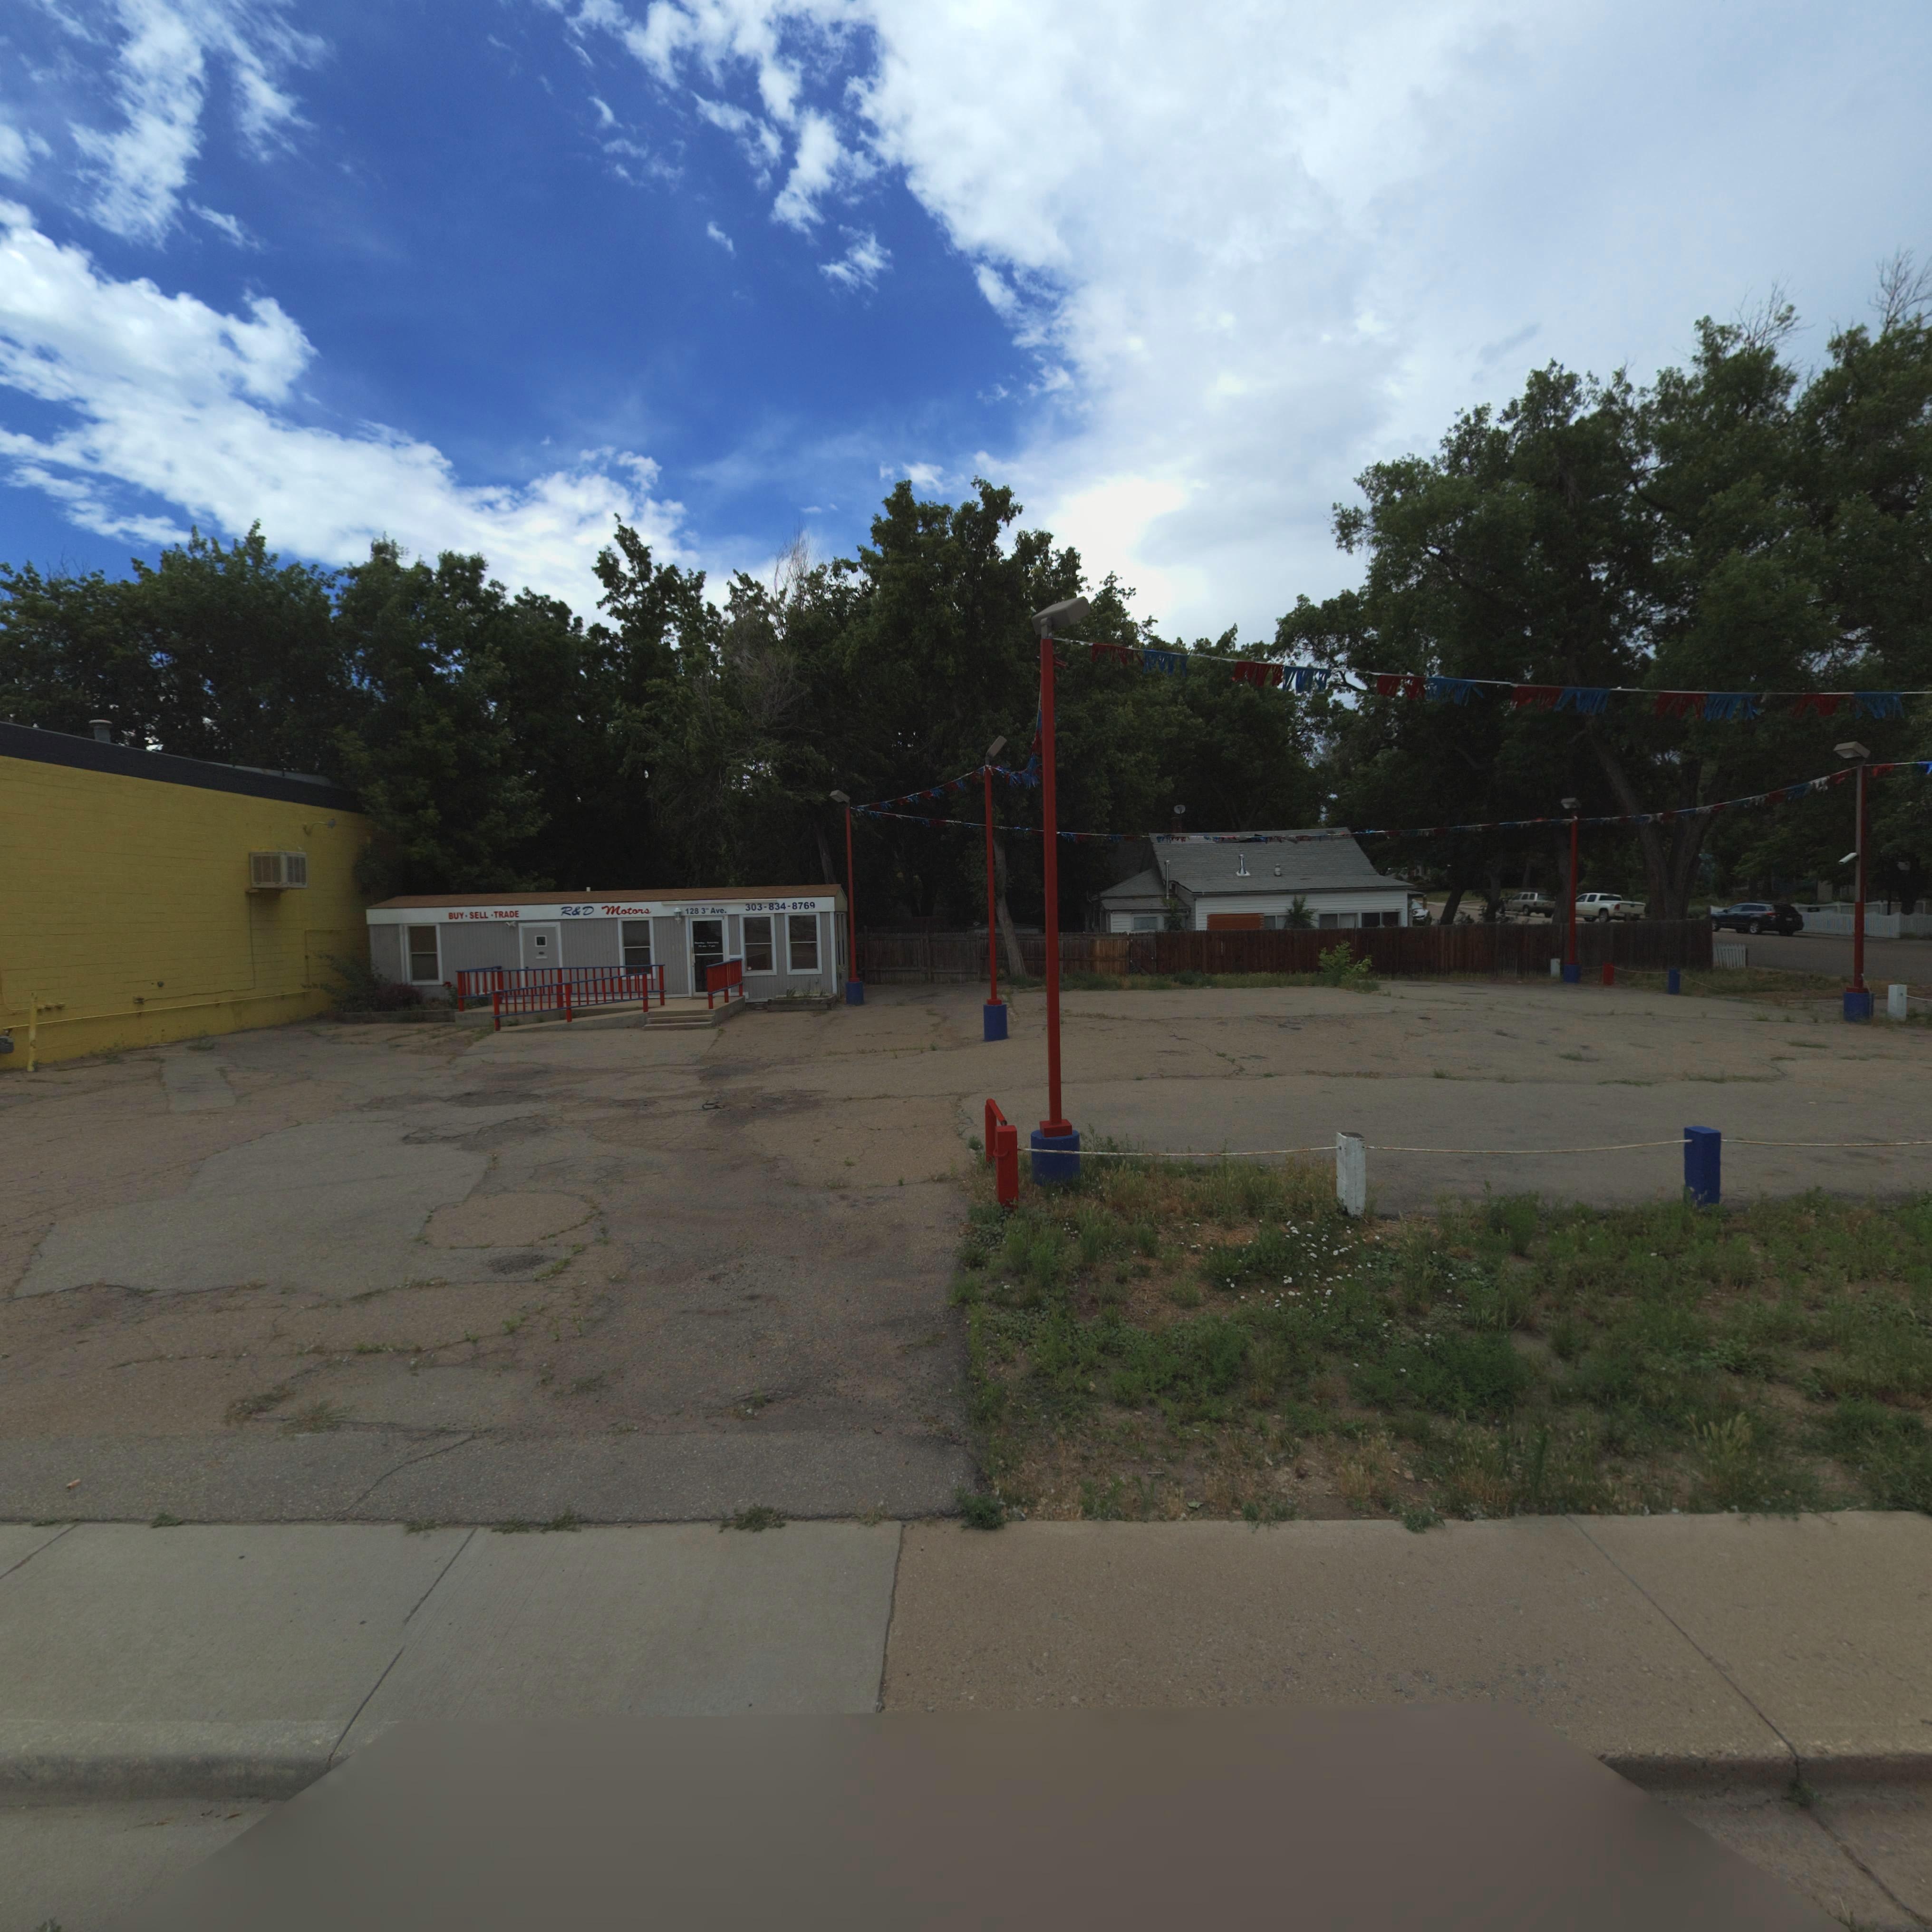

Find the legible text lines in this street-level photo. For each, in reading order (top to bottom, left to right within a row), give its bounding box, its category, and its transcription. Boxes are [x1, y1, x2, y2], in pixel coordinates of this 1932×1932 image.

[560, 905, 651, 916] BusinessName: R&D Motors
[685, 907, 699, 914] StreetNumber: 128
[701, 907, 726, 914] StreetName: 3rd Ave.